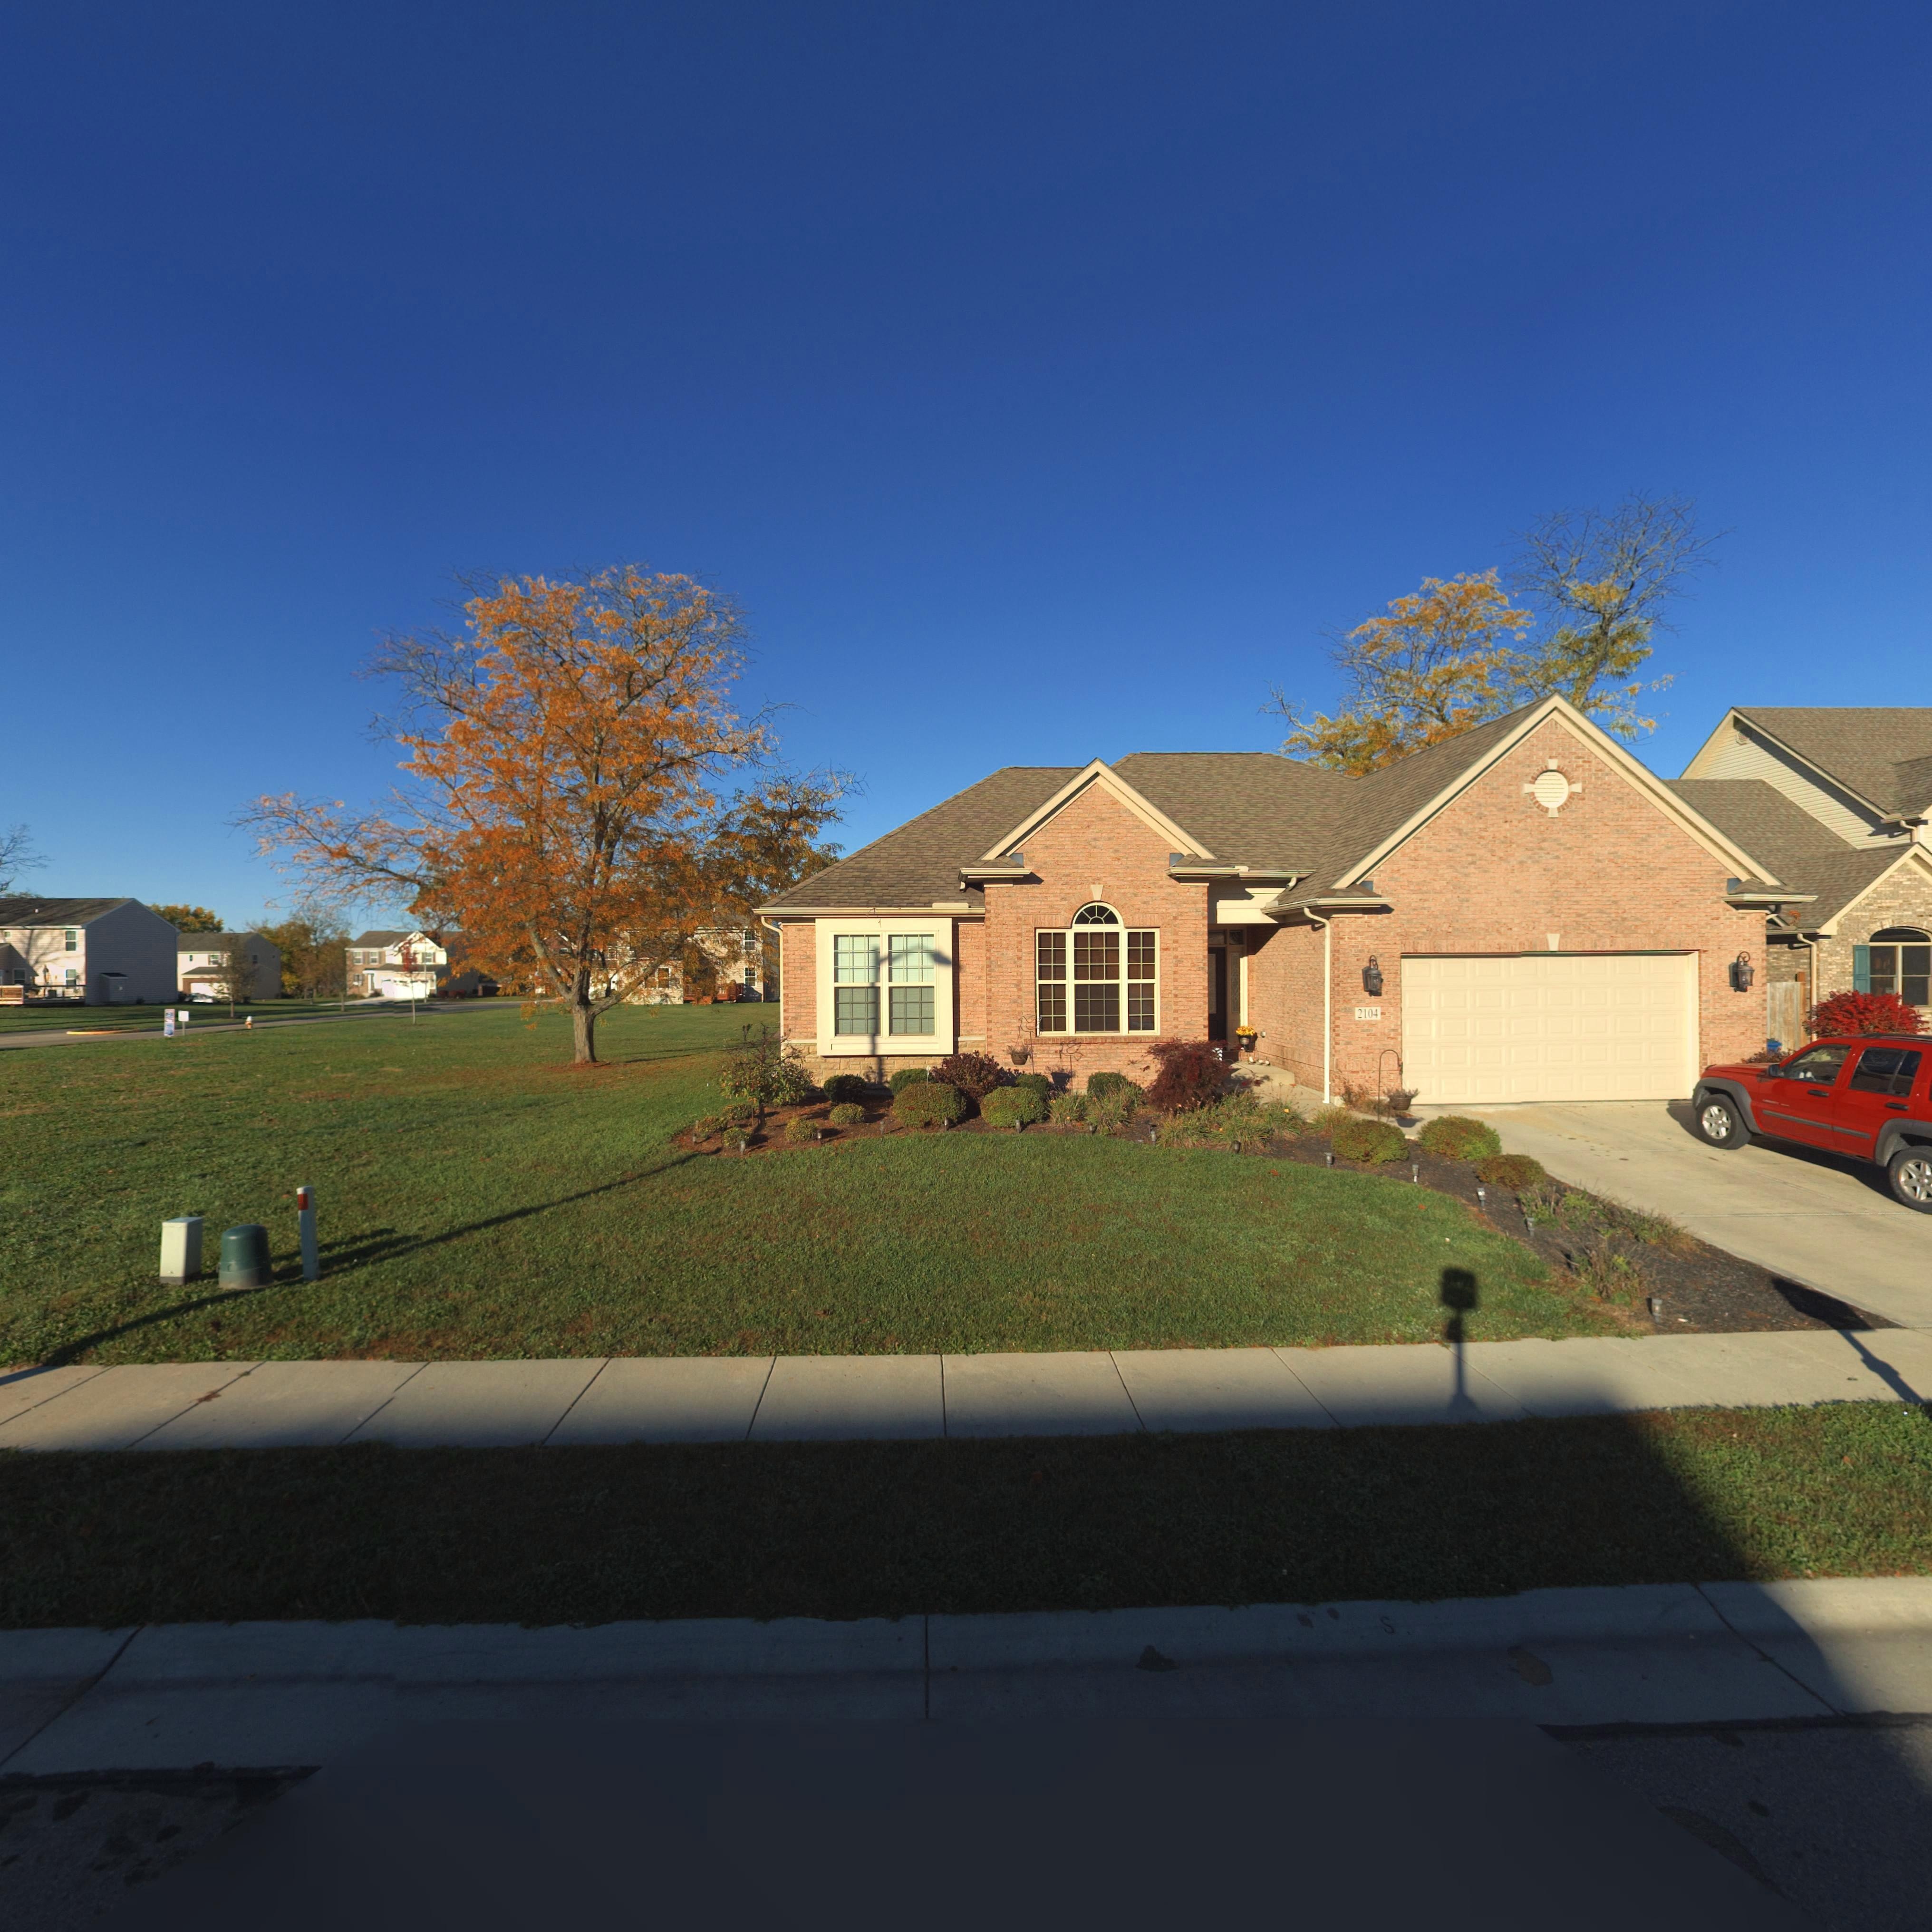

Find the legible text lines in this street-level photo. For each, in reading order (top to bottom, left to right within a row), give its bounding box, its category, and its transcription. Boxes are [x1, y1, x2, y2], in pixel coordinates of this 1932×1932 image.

[1356, 1007, 1381, 1020] StreetNumber: 2104